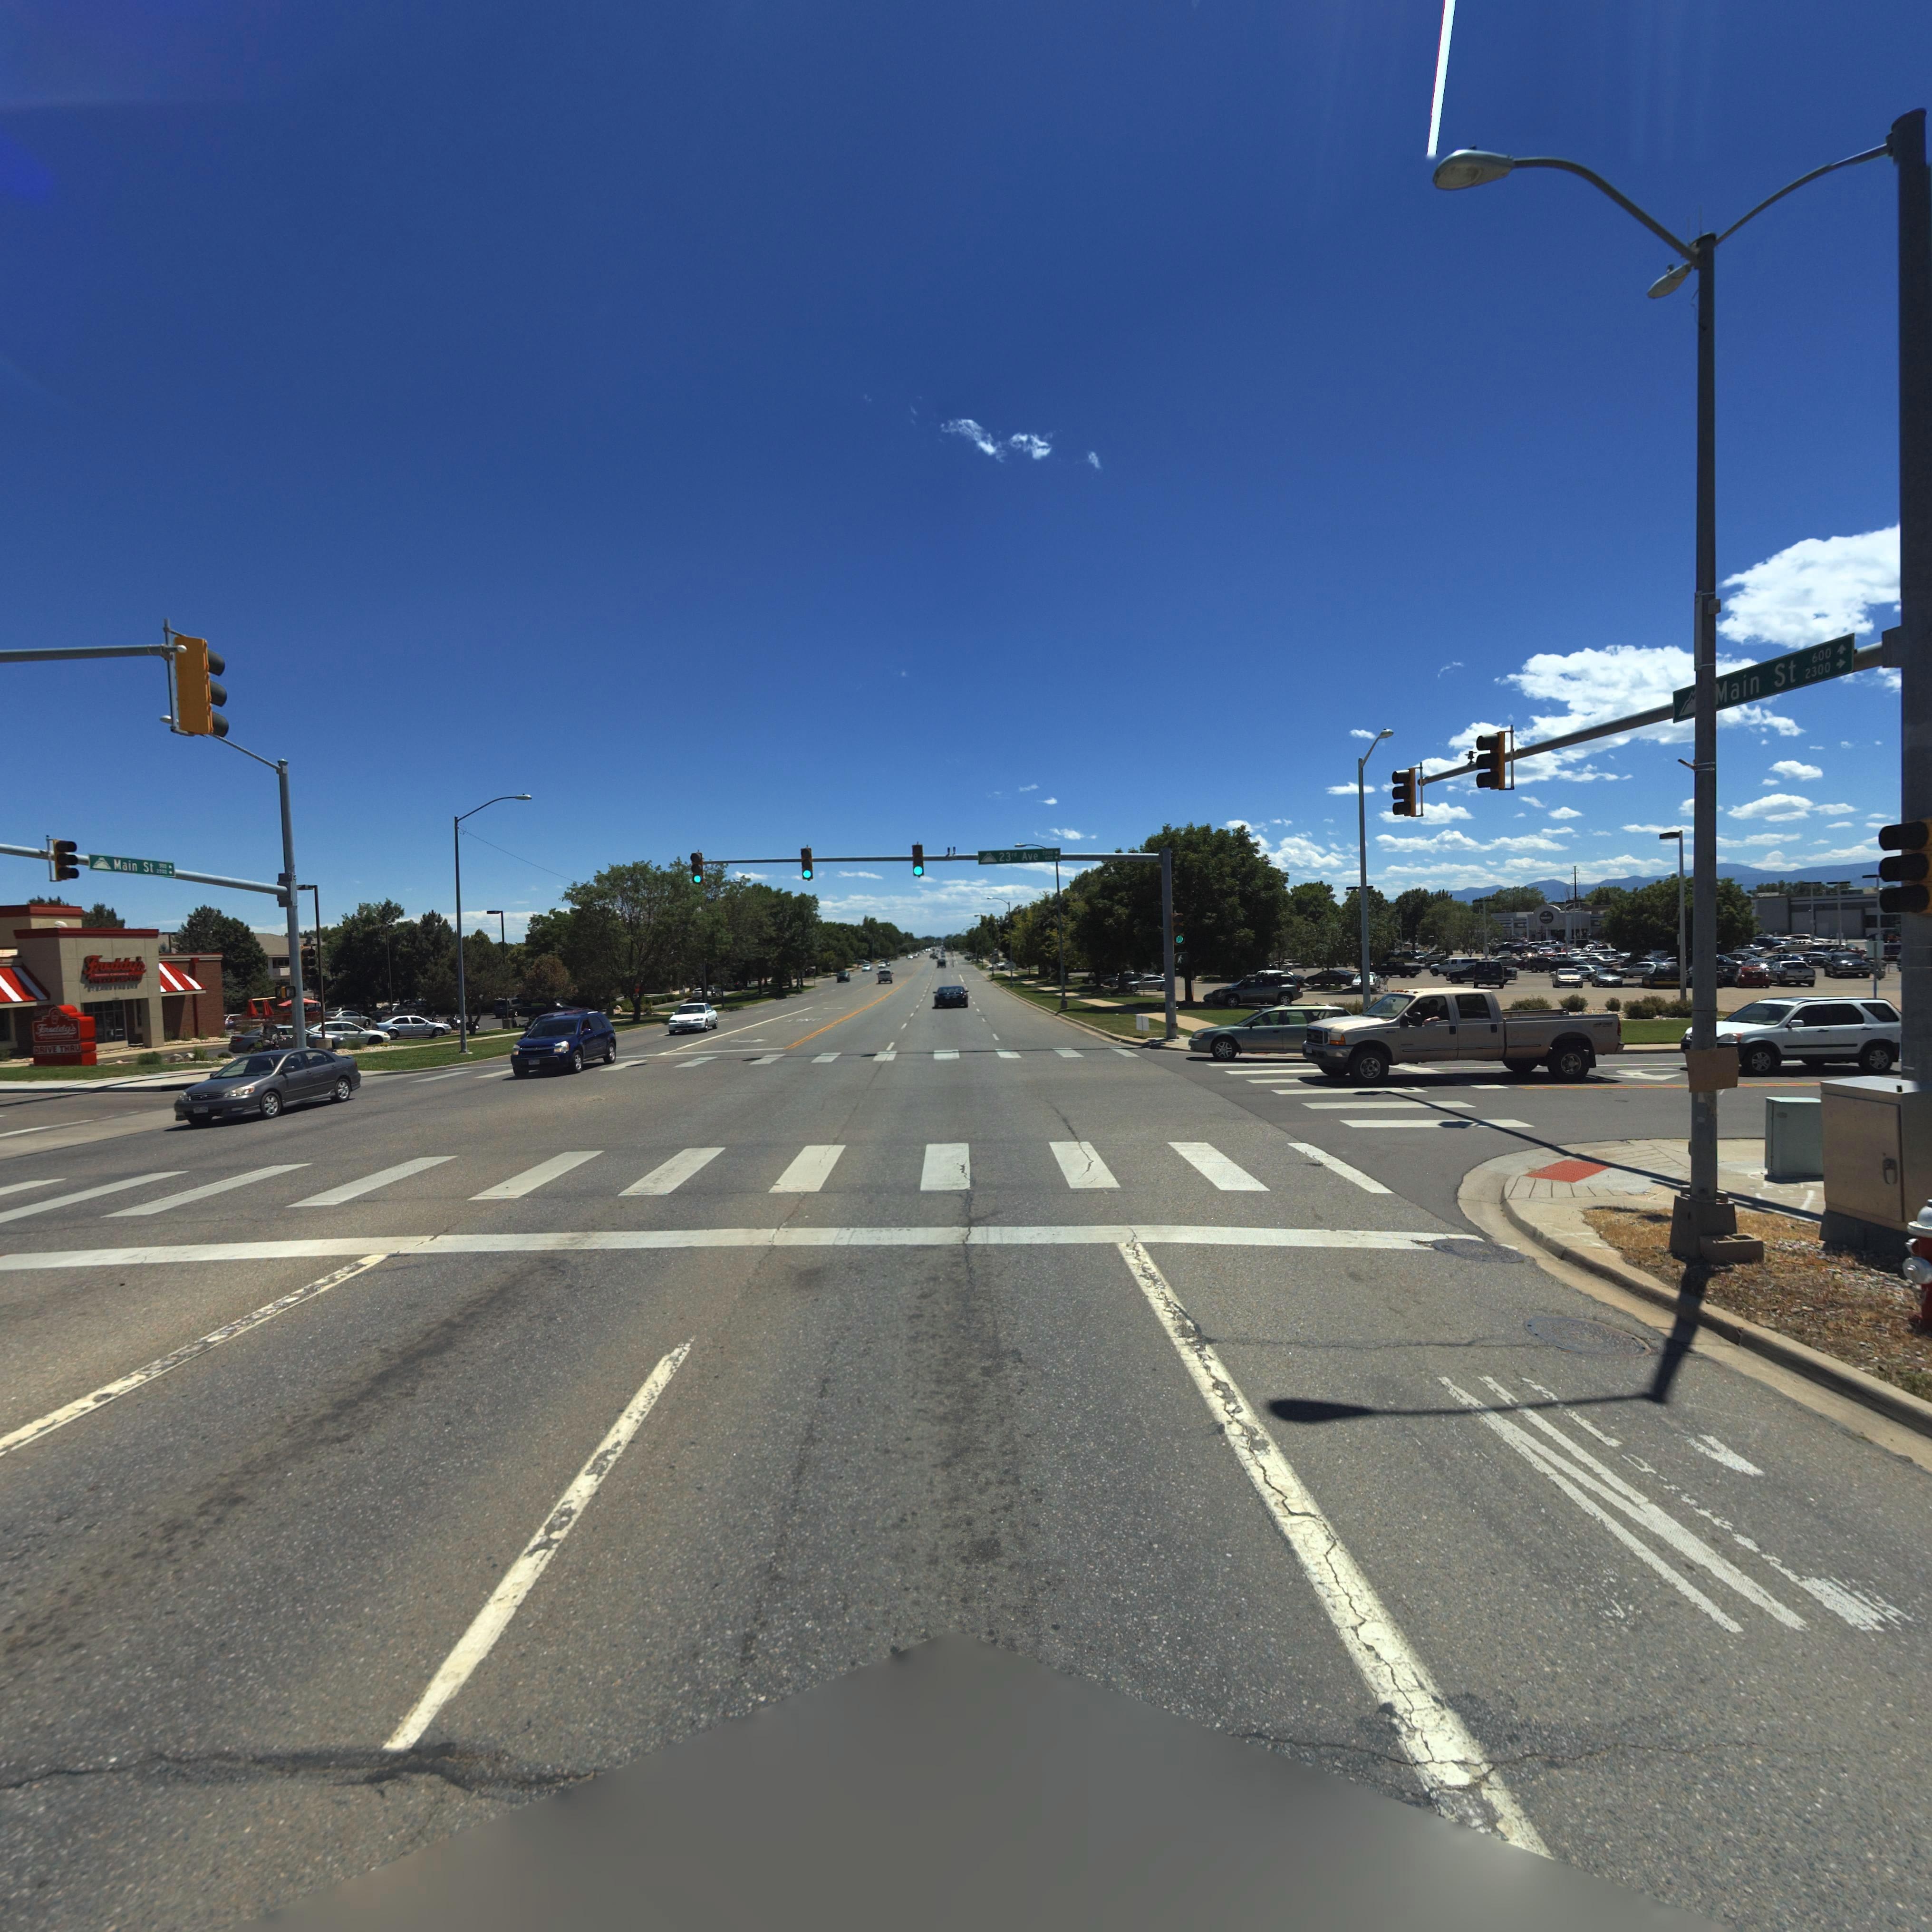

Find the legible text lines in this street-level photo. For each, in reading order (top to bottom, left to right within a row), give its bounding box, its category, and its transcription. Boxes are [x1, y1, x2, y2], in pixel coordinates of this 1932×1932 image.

[1811, 647, 1831, 663] StreetNumberRange: 600
[1805, 658, 1847, 679] StreetNumberRange: 2300->
[1715, 659, 1797, 705] StreetName: Main St
[999, 851, 1038, 861] StreetName: 23rd Ave
[1042, 850, 1053, 855] StreetNumberRange: 2200
[1044, 855, 1053, 860] StreetNumberRange: 600
[114, 858, 154, 873] StreetName: Main St
[156, 868, 167, 874] StreetNumberRange: 2*0*
[158, 863, 166, 869] StreetNumberRange: 5*0
[82, 955, 145, 975] BusinessName: freddy*s
[35, 1024, 77, 1035] BusinessName: f**ddys